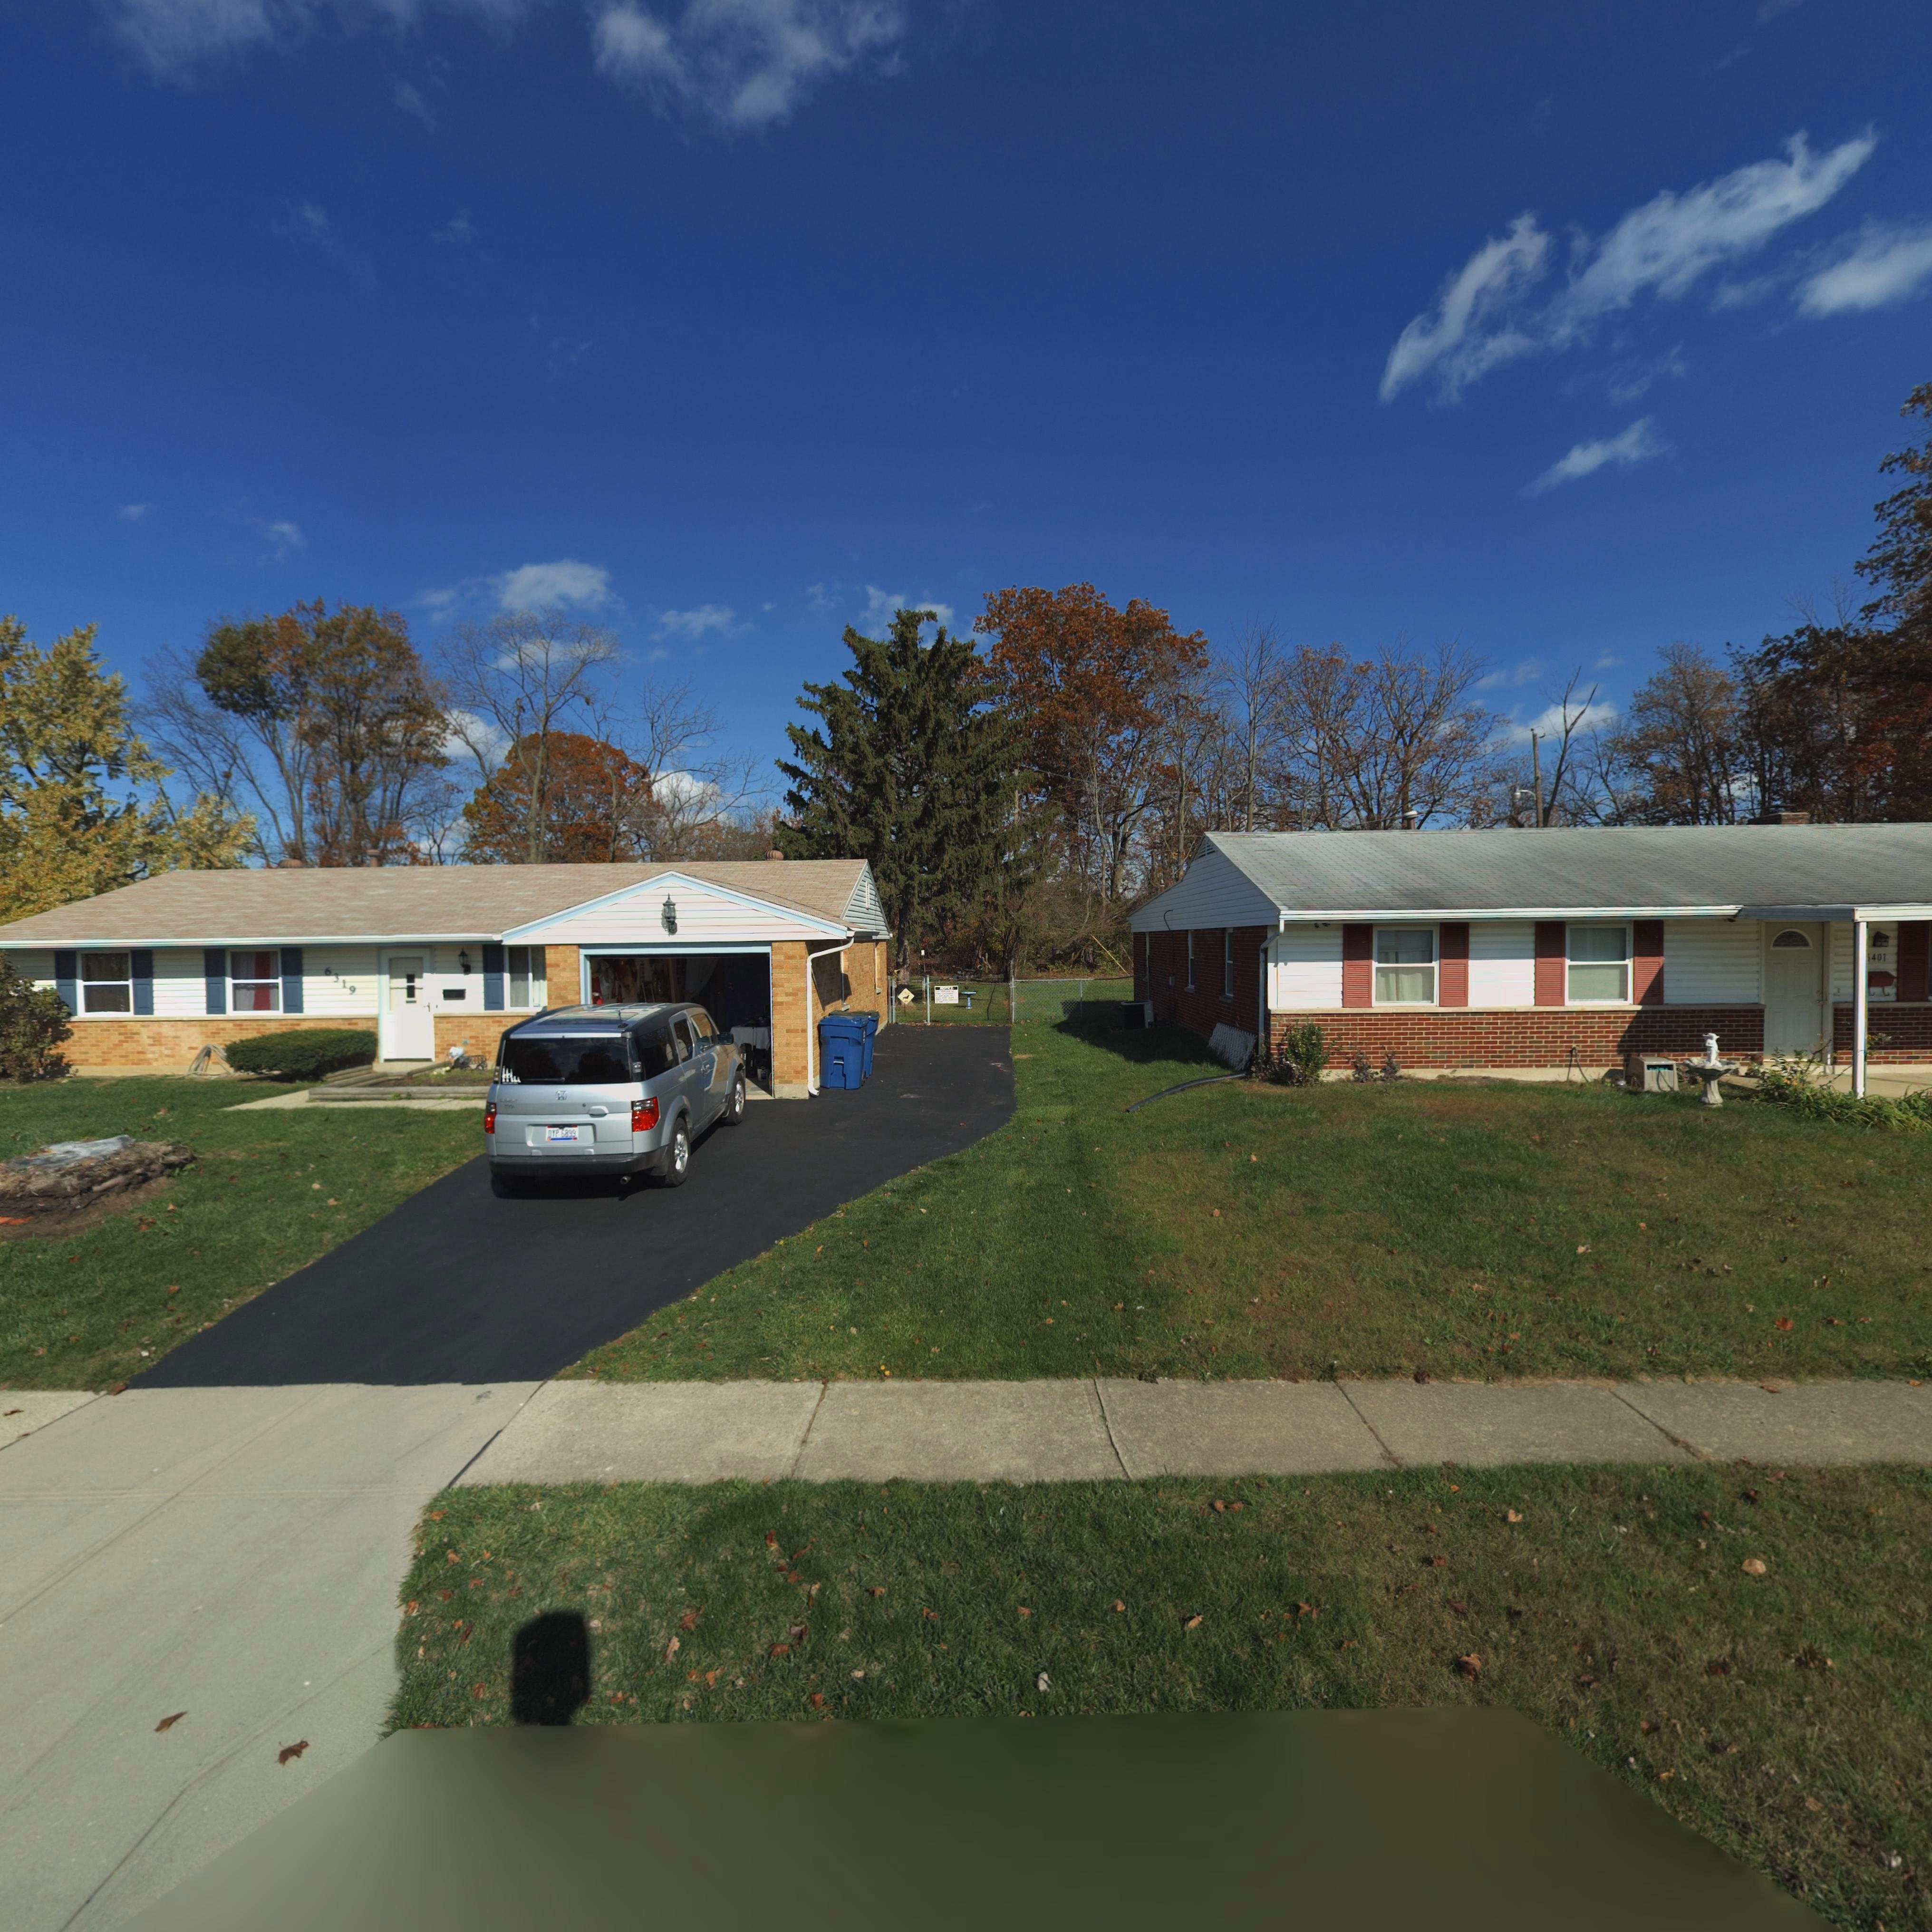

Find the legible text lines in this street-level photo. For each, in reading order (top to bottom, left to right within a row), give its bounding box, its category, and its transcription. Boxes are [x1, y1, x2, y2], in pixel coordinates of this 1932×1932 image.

[1871, 953, 1886, 962] StreetNumber: 401
[323, 966, 357, 996] StreetNumber: 6319